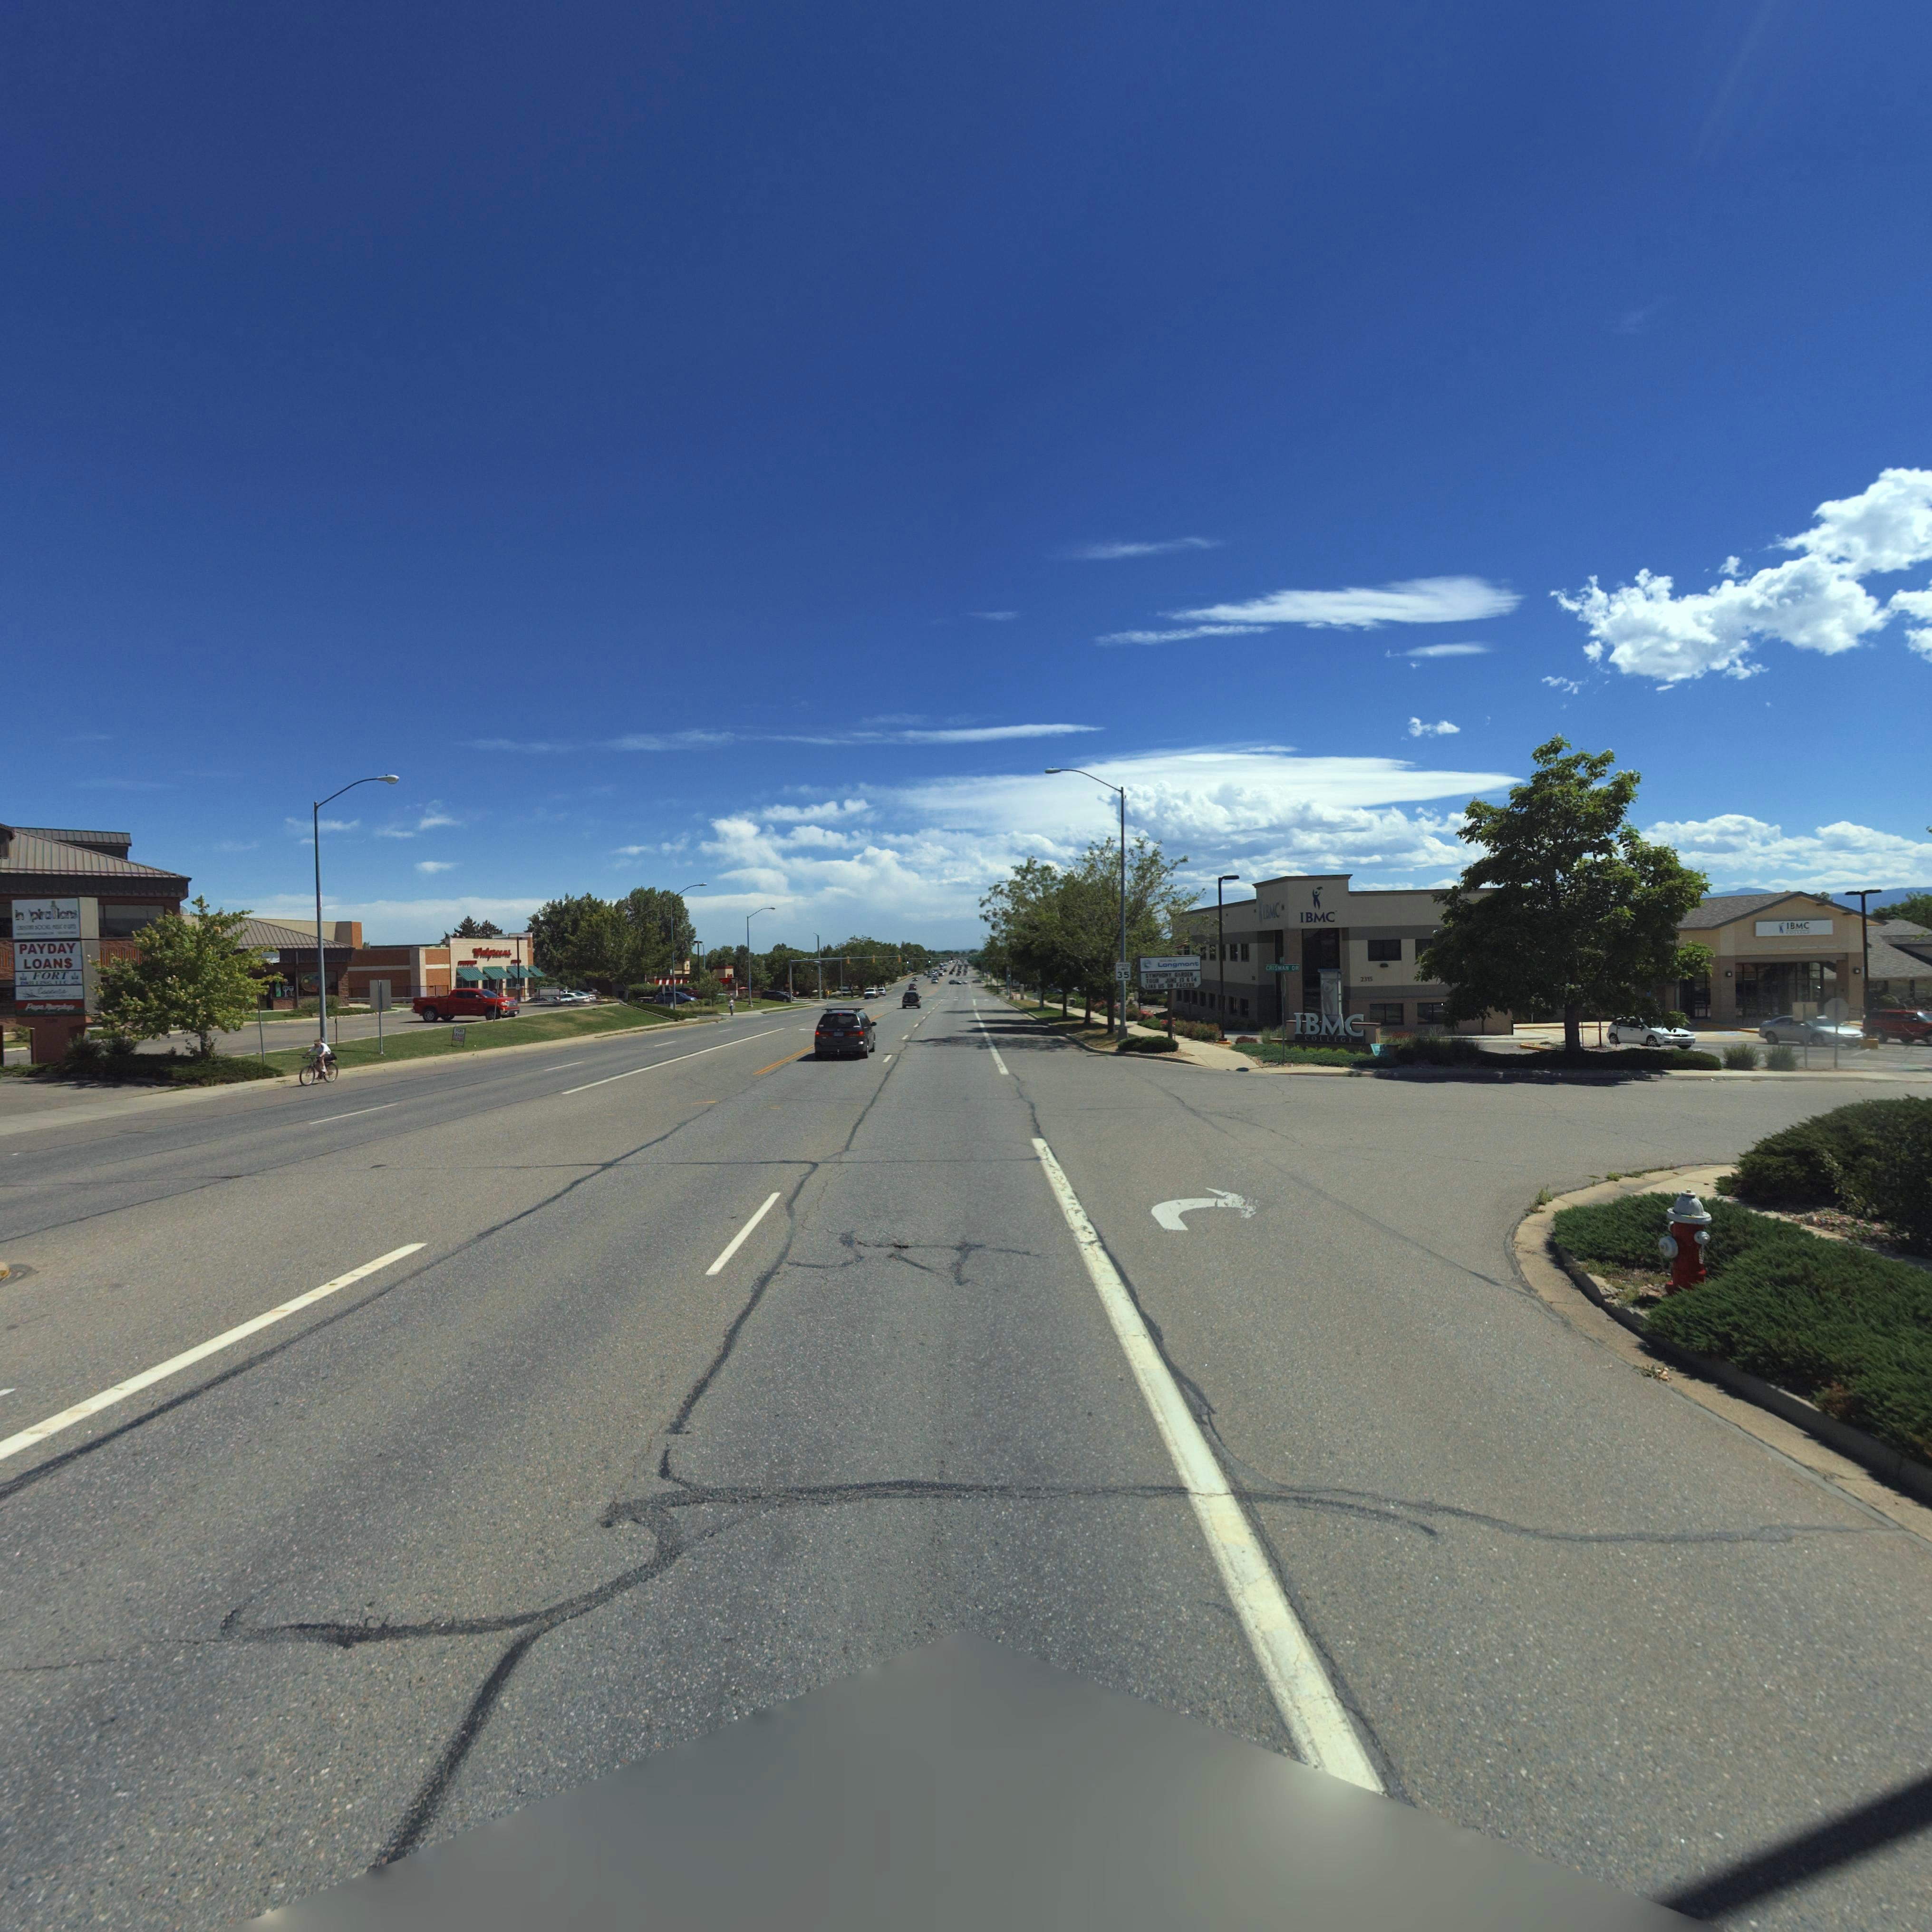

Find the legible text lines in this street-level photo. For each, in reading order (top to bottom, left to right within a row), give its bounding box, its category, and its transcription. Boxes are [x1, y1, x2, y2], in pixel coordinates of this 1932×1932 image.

[14, 899, 77, 923] BusinessName: in*pirations
[1262, 901, 1280, 919] BusinessName: IBMC
[1300, 911, 1335, 923] BusinessName: IBMC
[1787, 921, 1809, 929] BusinessName: IBMC
[1785, 930, 1810, 934] BusinessName: COLL**E
[472, 947, 512, 959] BusinessName: Walgreens
[1265, 965, 1298, 970] StreetNumber: CRISMAN DR
[31, 971, 69, 980] BusinessName: FORT
[1360, 976, 1372, 982] StreetNumber: 2315
[37, 986, 68, 994] BusinessName: Ecc***s
[1293, 1012, 1364, 1036] BusinessName: IBMC
[1304, 1035, 1352, 1043] BusinessName: COLLEGE